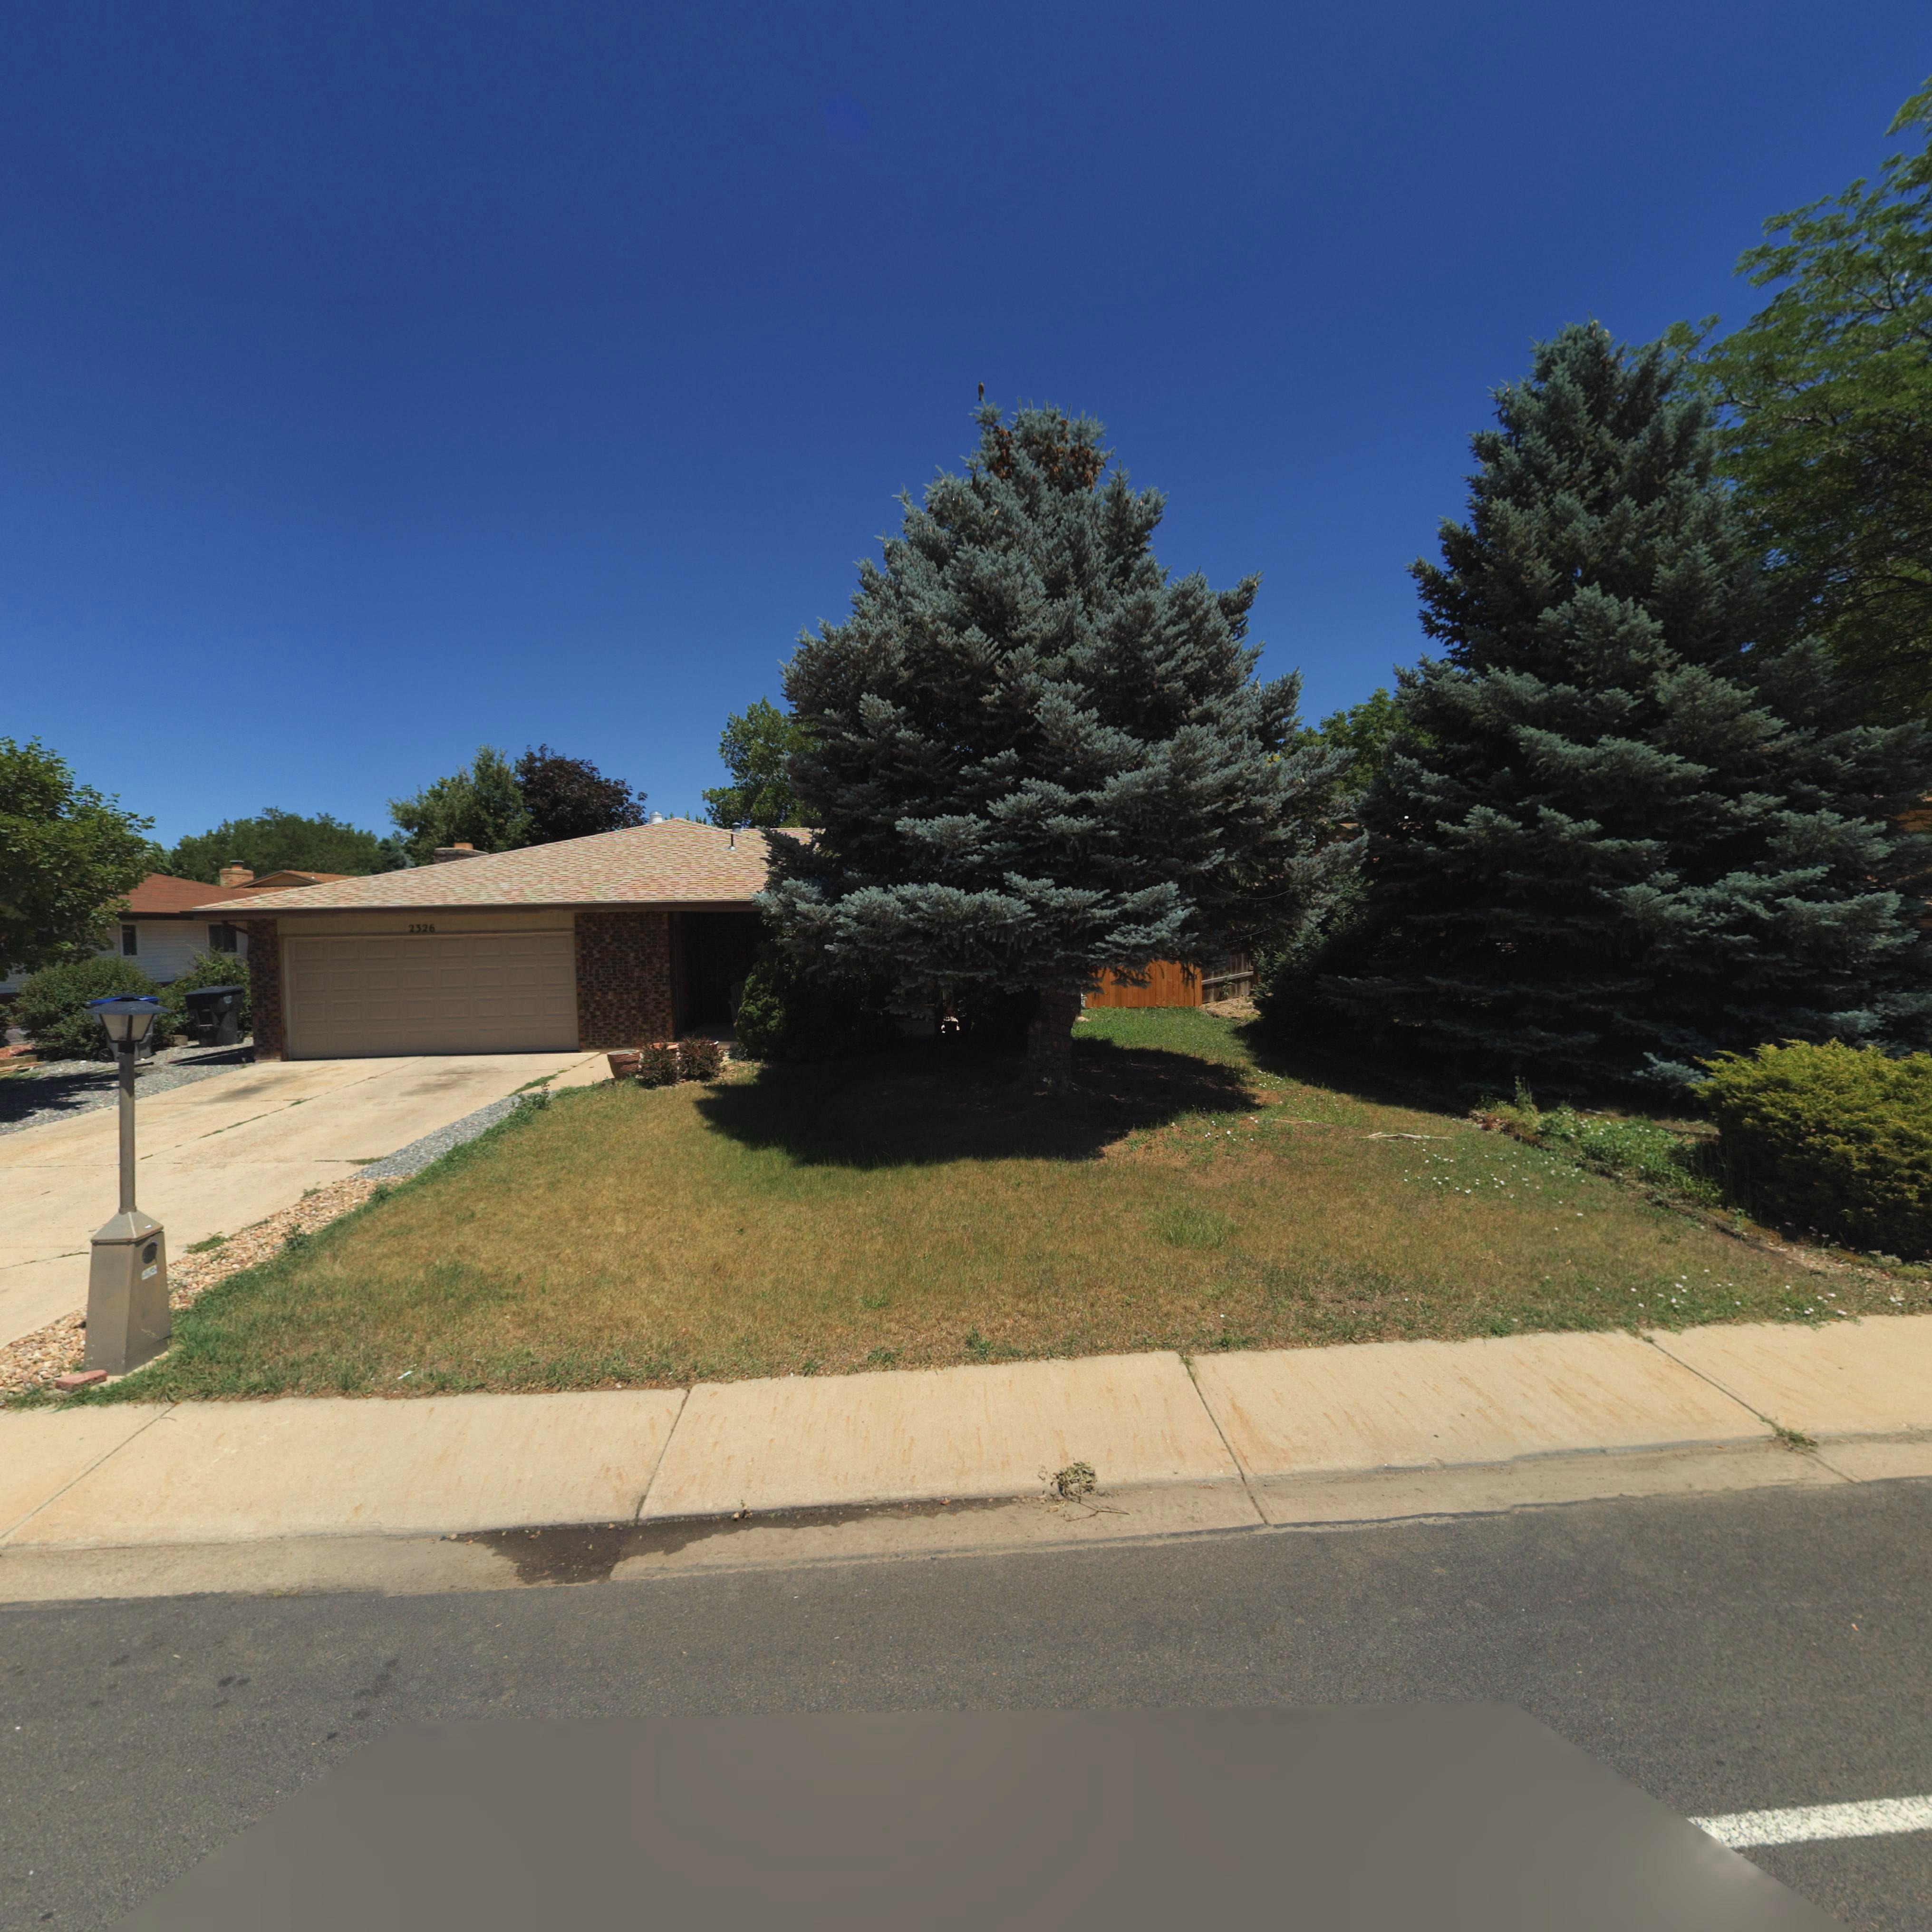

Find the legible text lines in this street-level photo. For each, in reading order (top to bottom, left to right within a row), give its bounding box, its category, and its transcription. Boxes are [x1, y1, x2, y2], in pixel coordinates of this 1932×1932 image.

[408, 924, 435, 933] StreetNumber: 2326